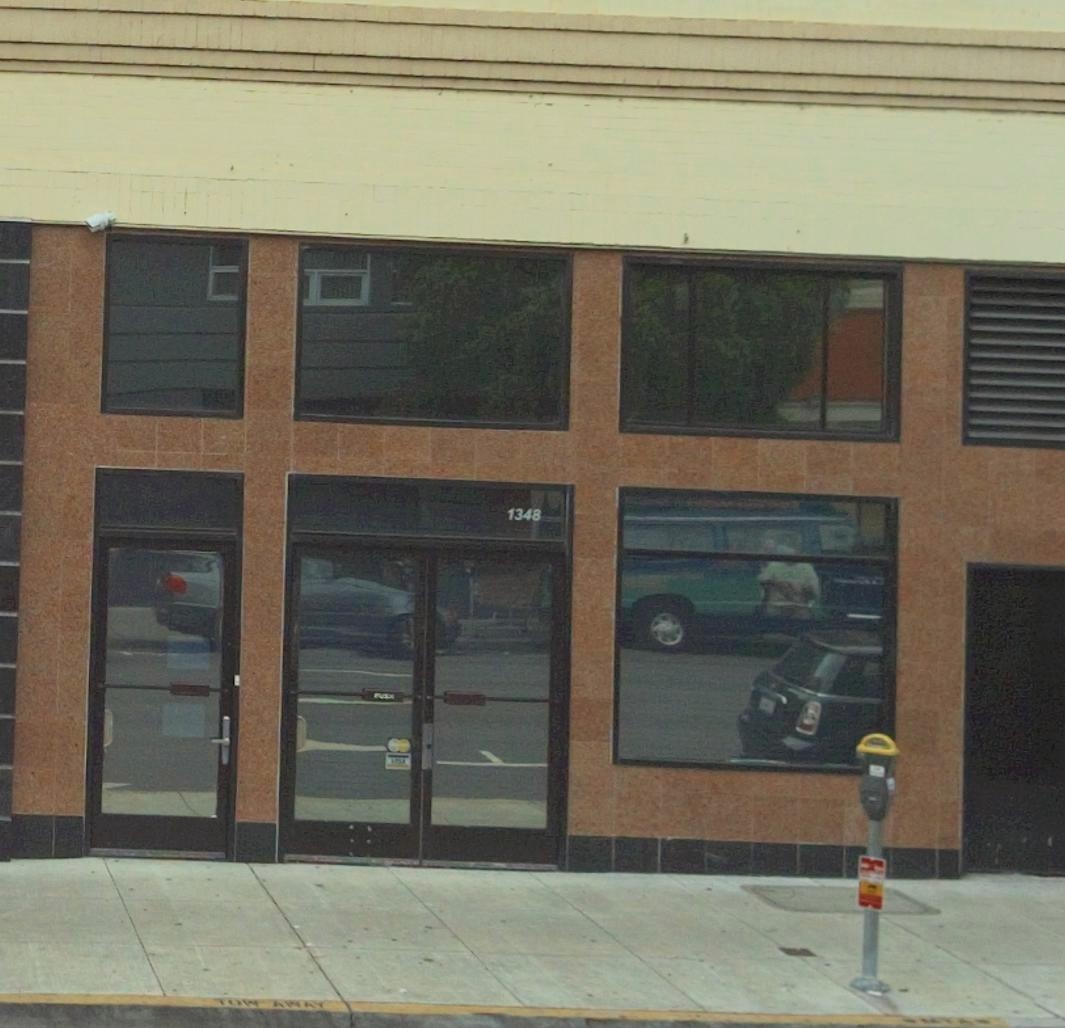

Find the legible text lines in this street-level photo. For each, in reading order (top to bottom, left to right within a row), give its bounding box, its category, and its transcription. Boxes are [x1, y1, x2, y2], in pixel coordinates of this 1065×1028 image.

[504, 506, 544, 523] StreetNumber: 1348
[210, 995, 331, 1011] None: TOW AWAY
[916, 1012, 977, 1027] None: MTA